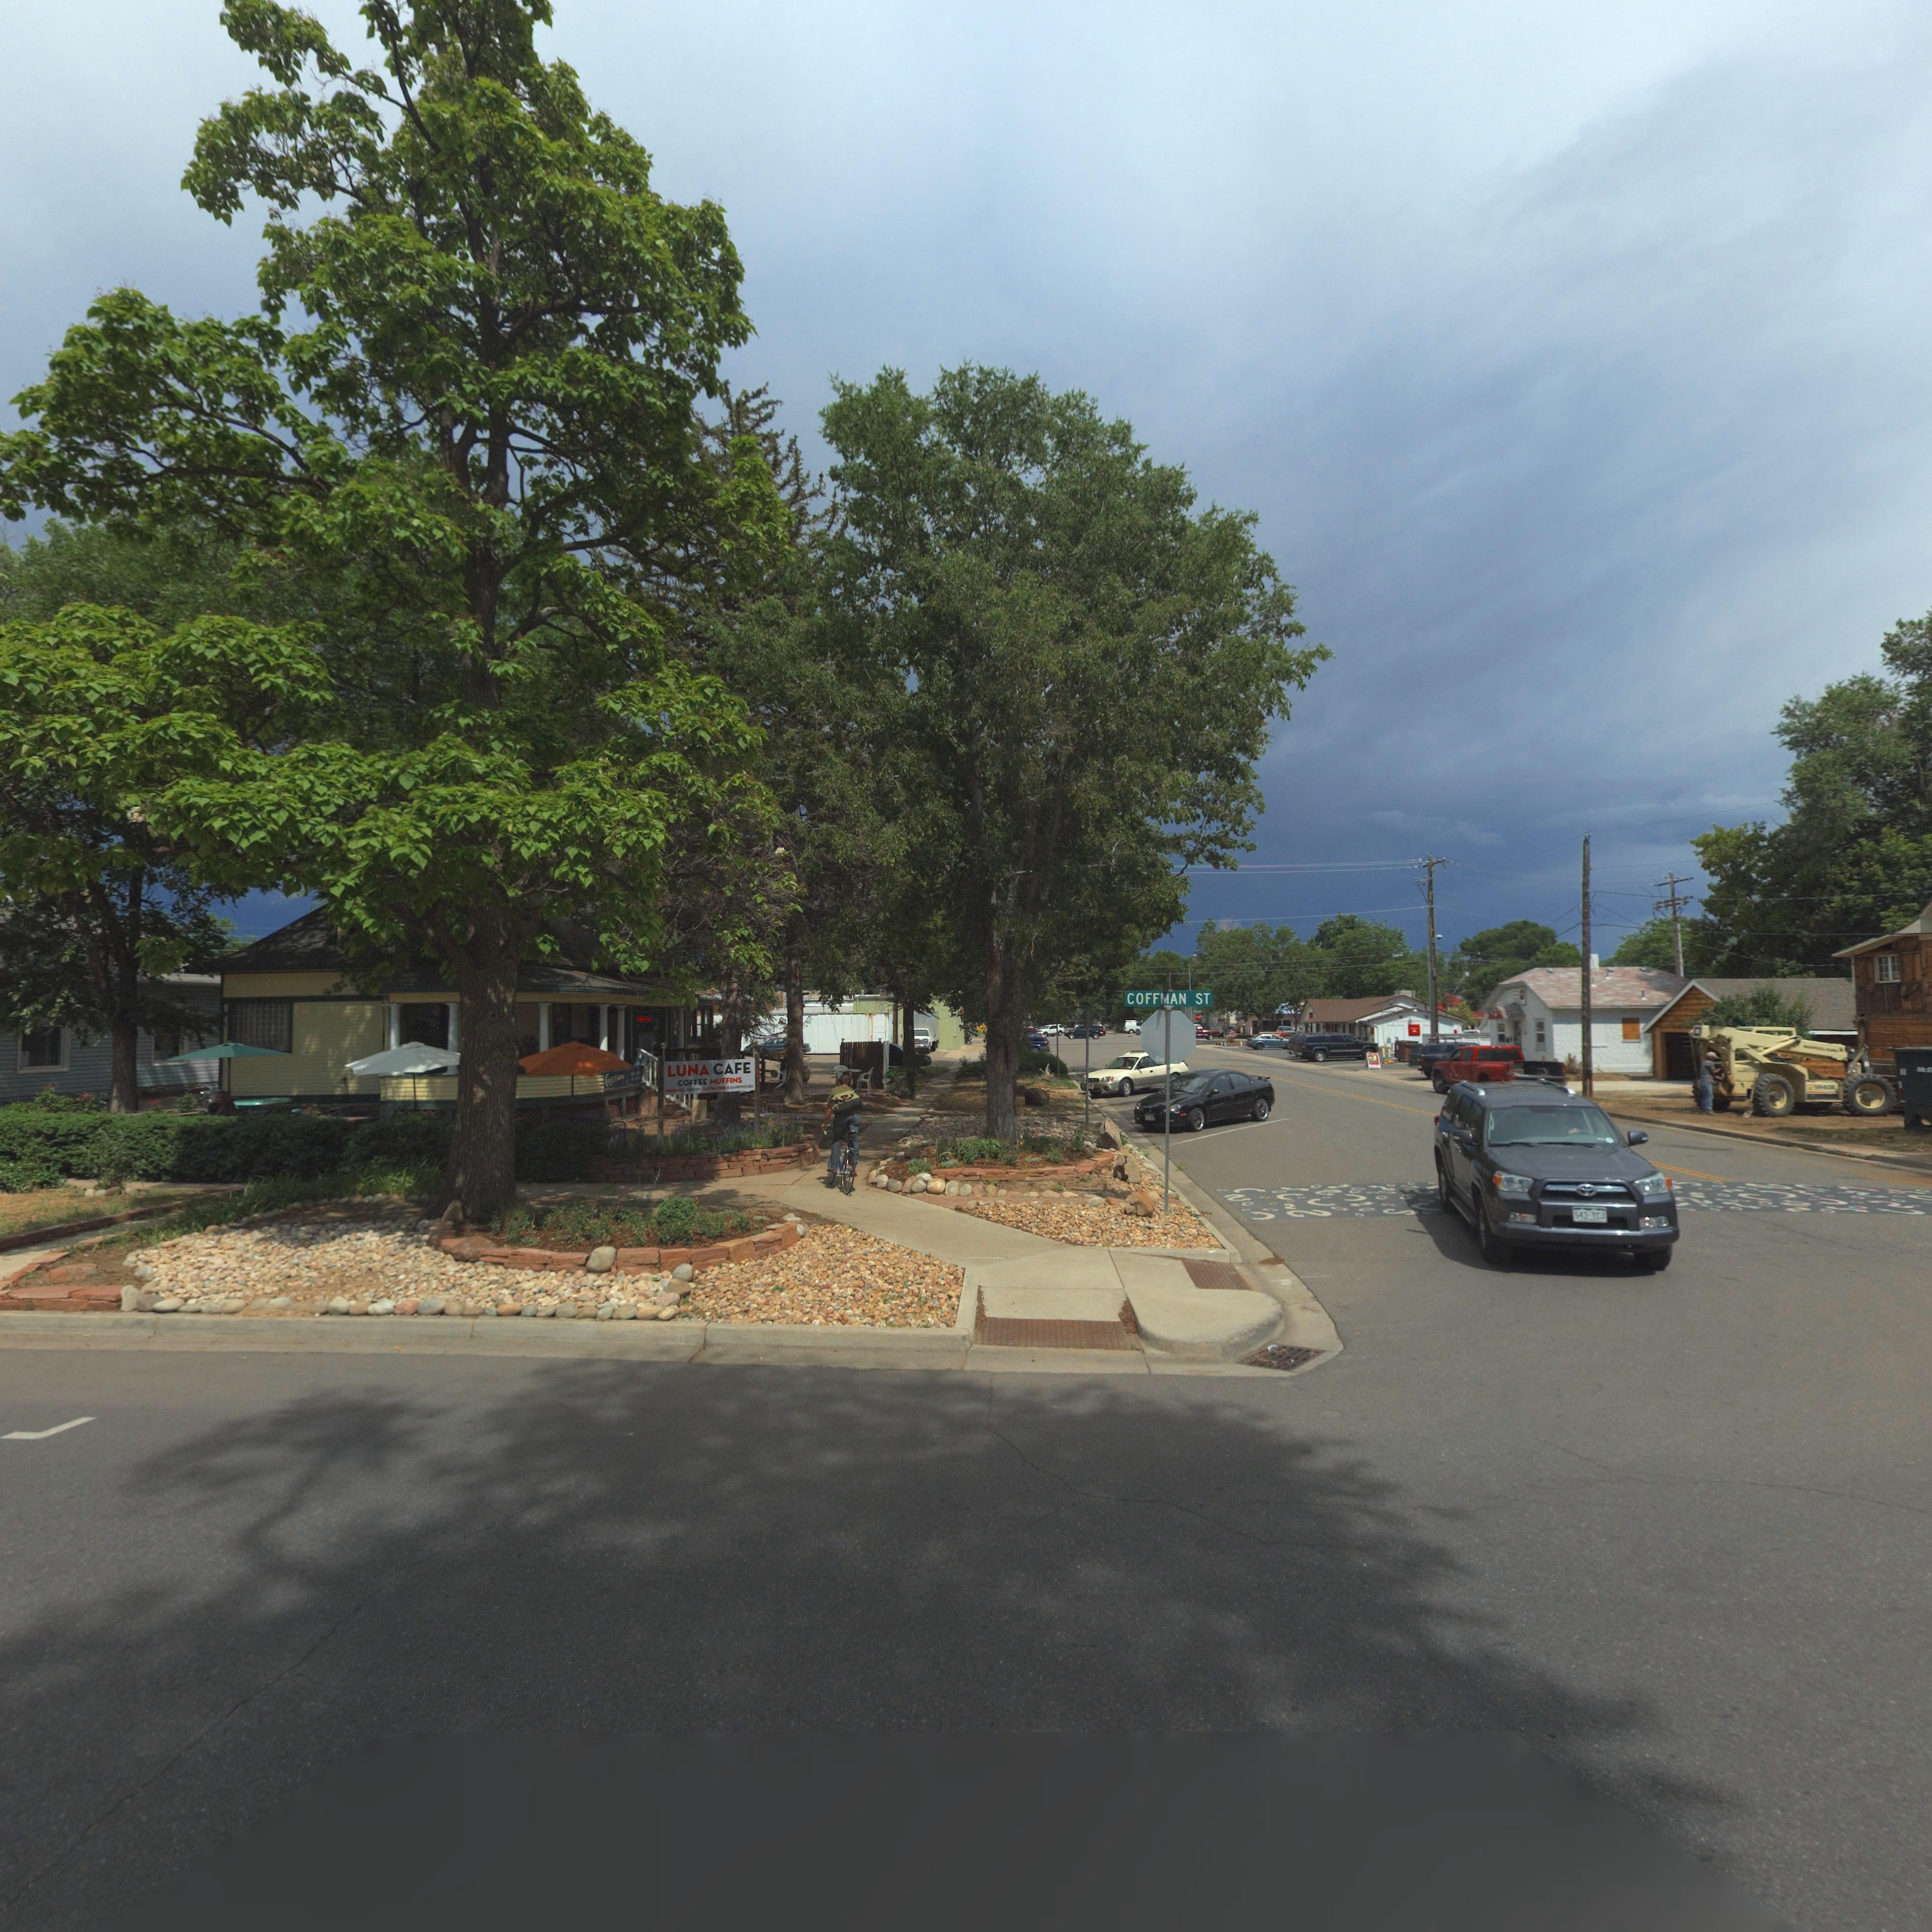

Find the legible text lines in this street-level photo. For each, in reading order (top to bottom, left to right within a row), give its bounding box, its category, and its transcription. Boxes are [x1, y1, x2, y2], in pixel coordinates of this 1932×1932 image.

[1127, 992, 1210, 1005] StreetName: COFFMAN ST
[667, 1061, 751, 1077] BusinessName: LUNA CAFE
[604, 1072, 626, 1088] BusinessName: C*******